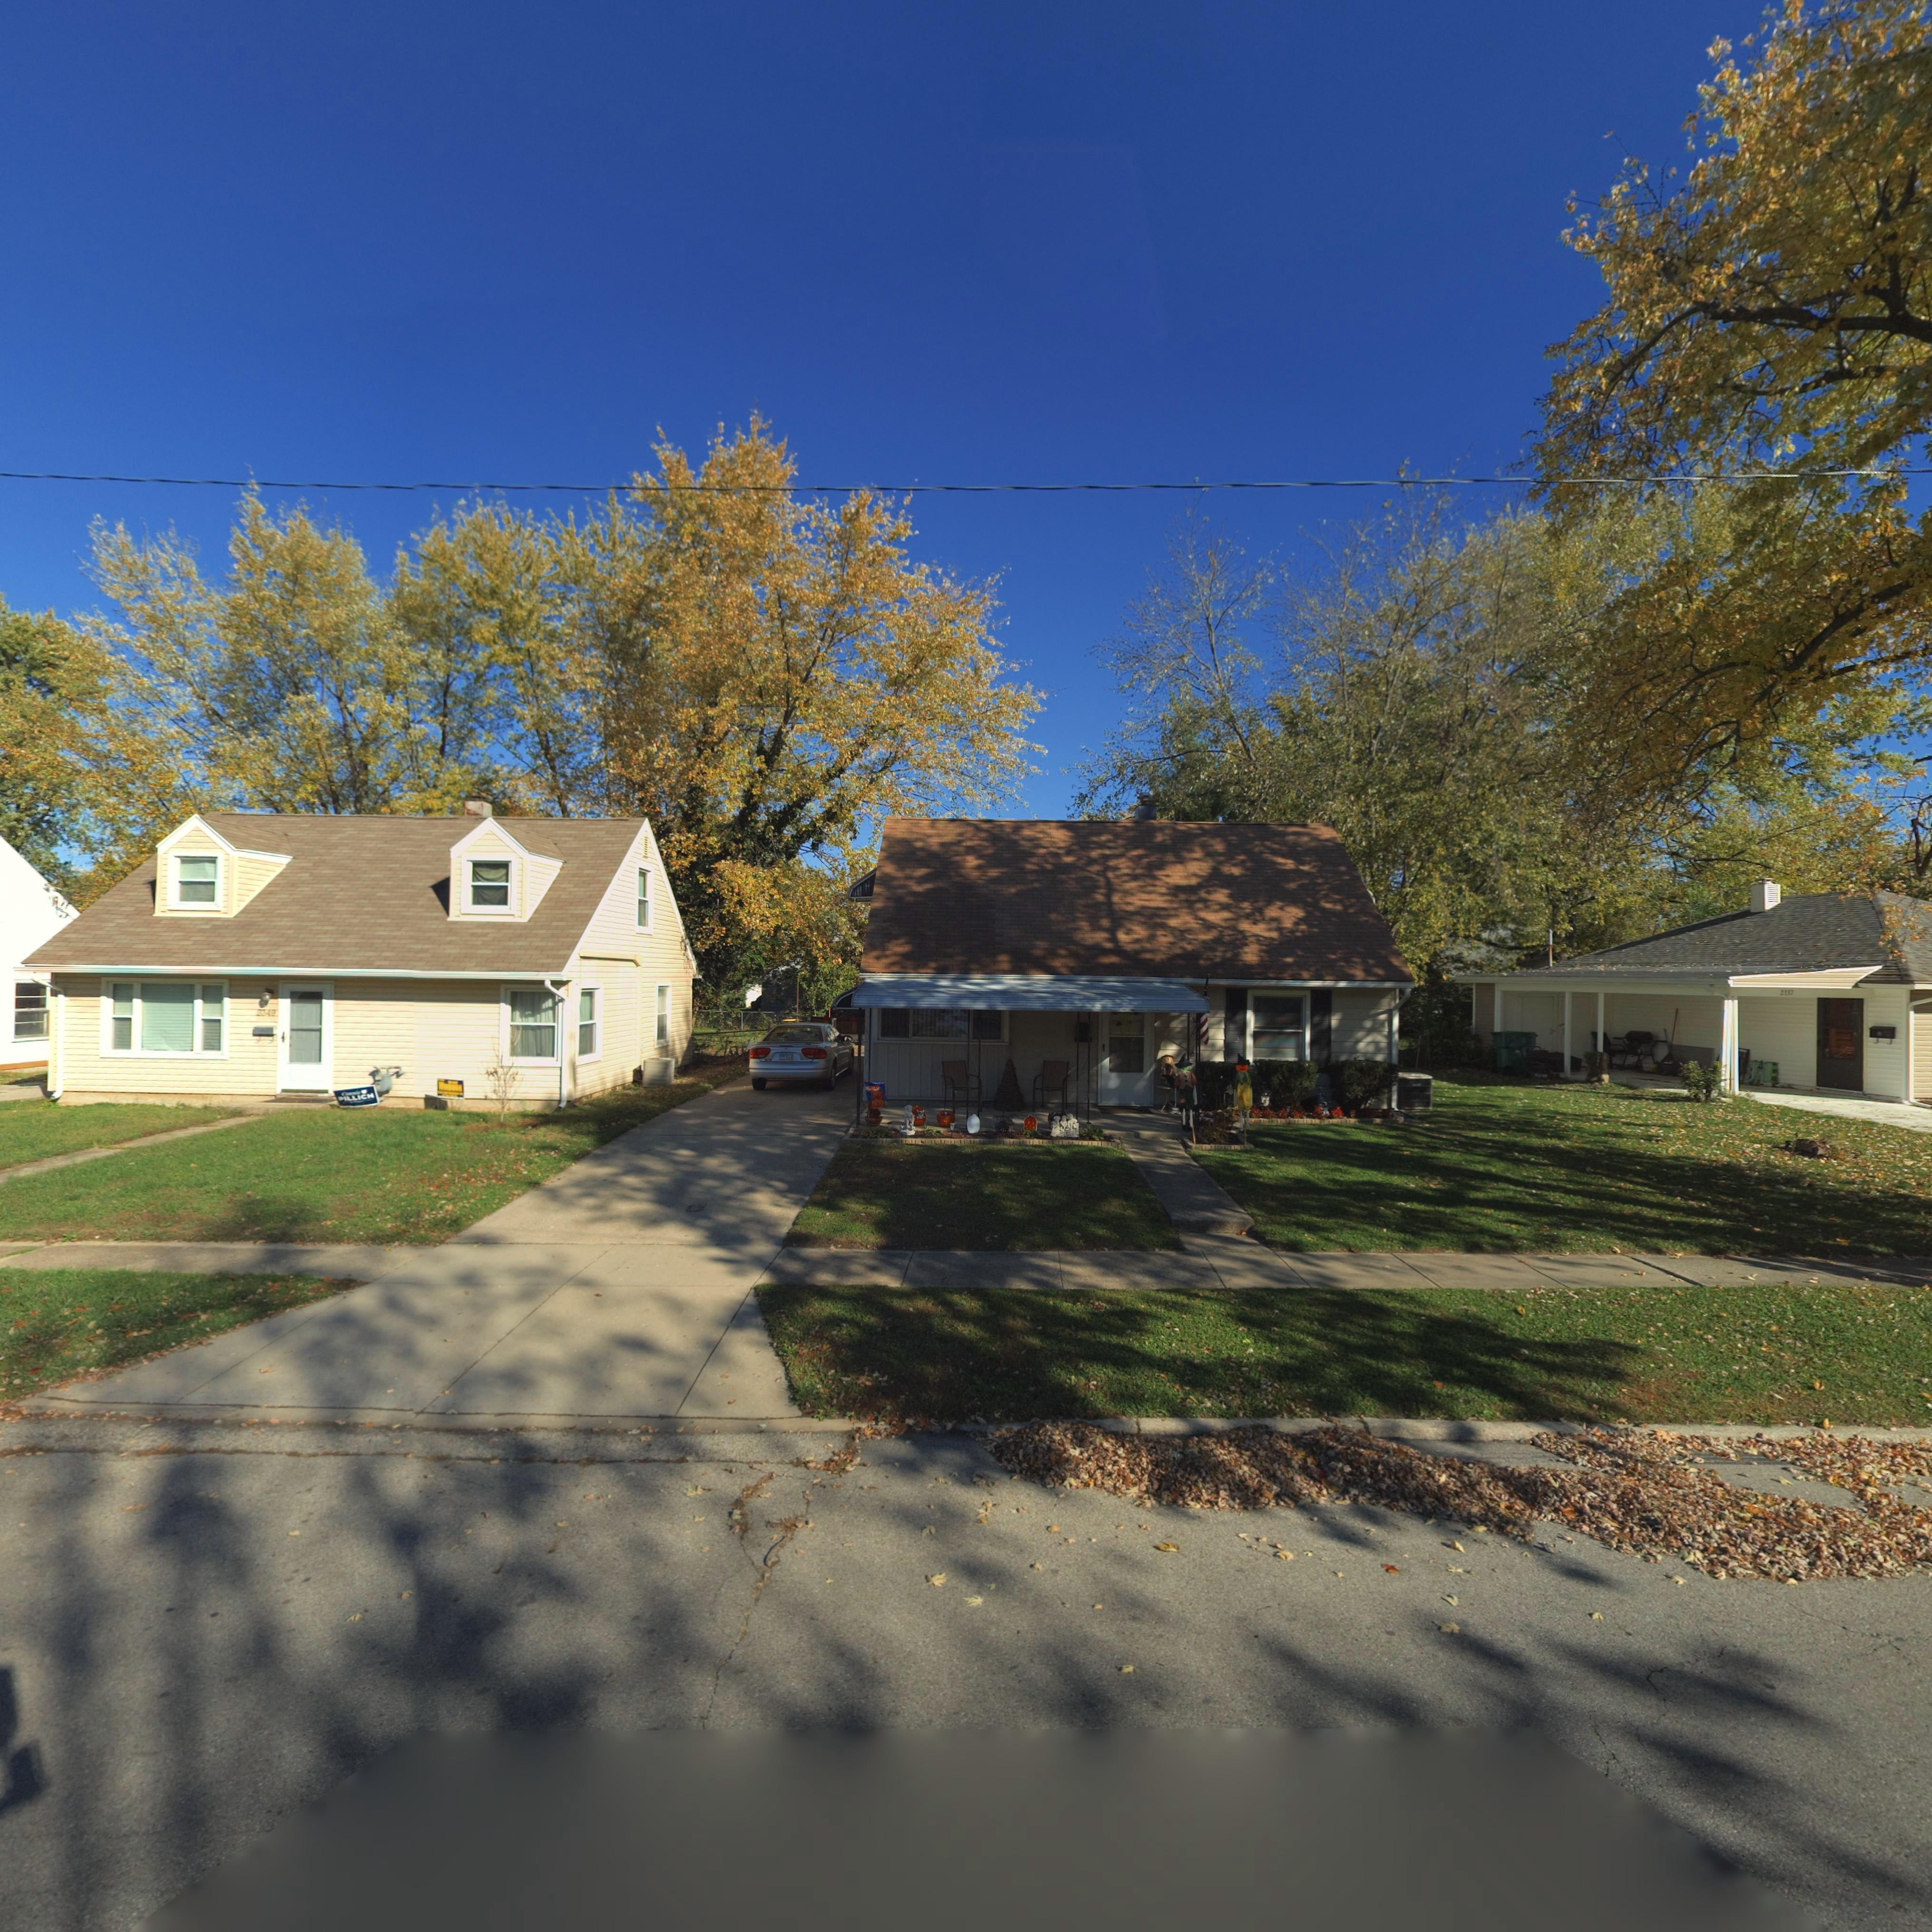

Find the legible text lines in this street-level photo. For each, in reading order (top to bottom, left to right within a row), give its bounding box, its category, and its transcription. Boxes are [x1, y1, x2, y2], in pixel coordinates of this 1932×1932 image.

[1779, 989, 1795, 997] StreetNumber: ***7
[255, 1008, 277, 1017] StreetNumber: 2349